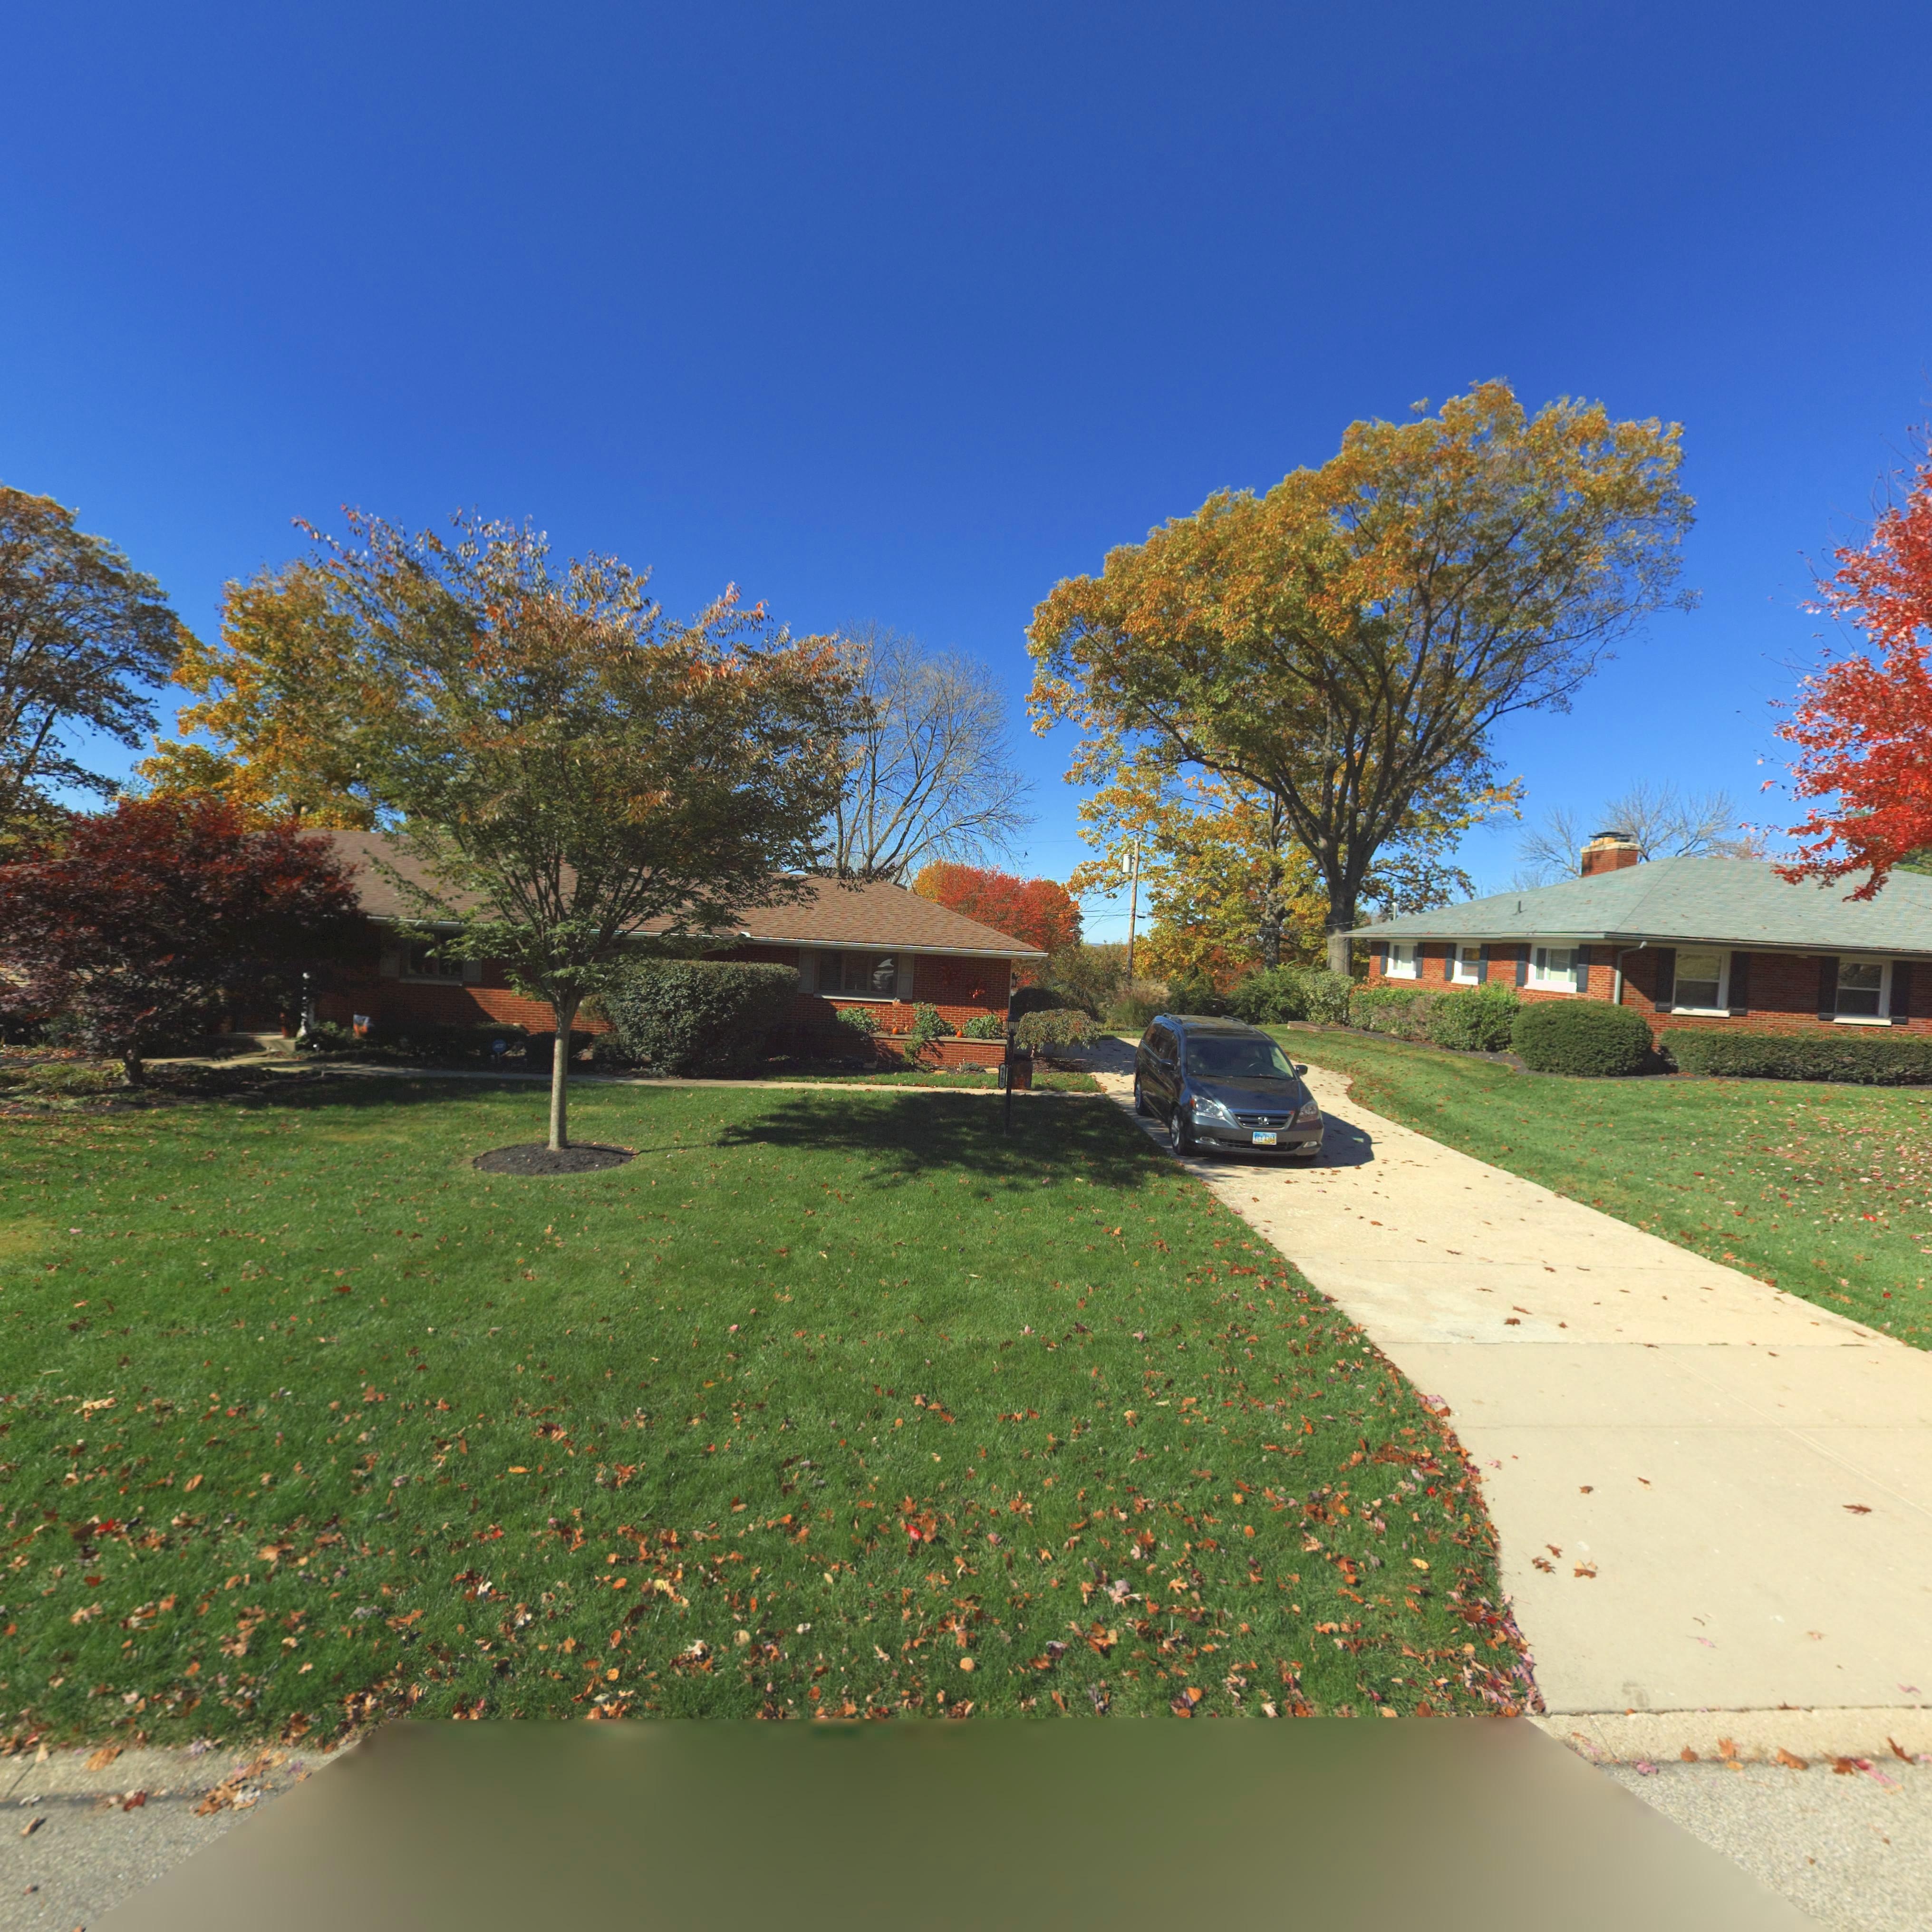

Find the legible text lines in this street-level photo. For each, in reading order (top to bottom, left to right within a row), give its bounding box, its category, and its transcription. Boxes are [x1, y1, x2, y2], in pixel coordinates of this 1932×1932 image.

[1000, 1066, 1005, 1085] StreetNumber: 4167